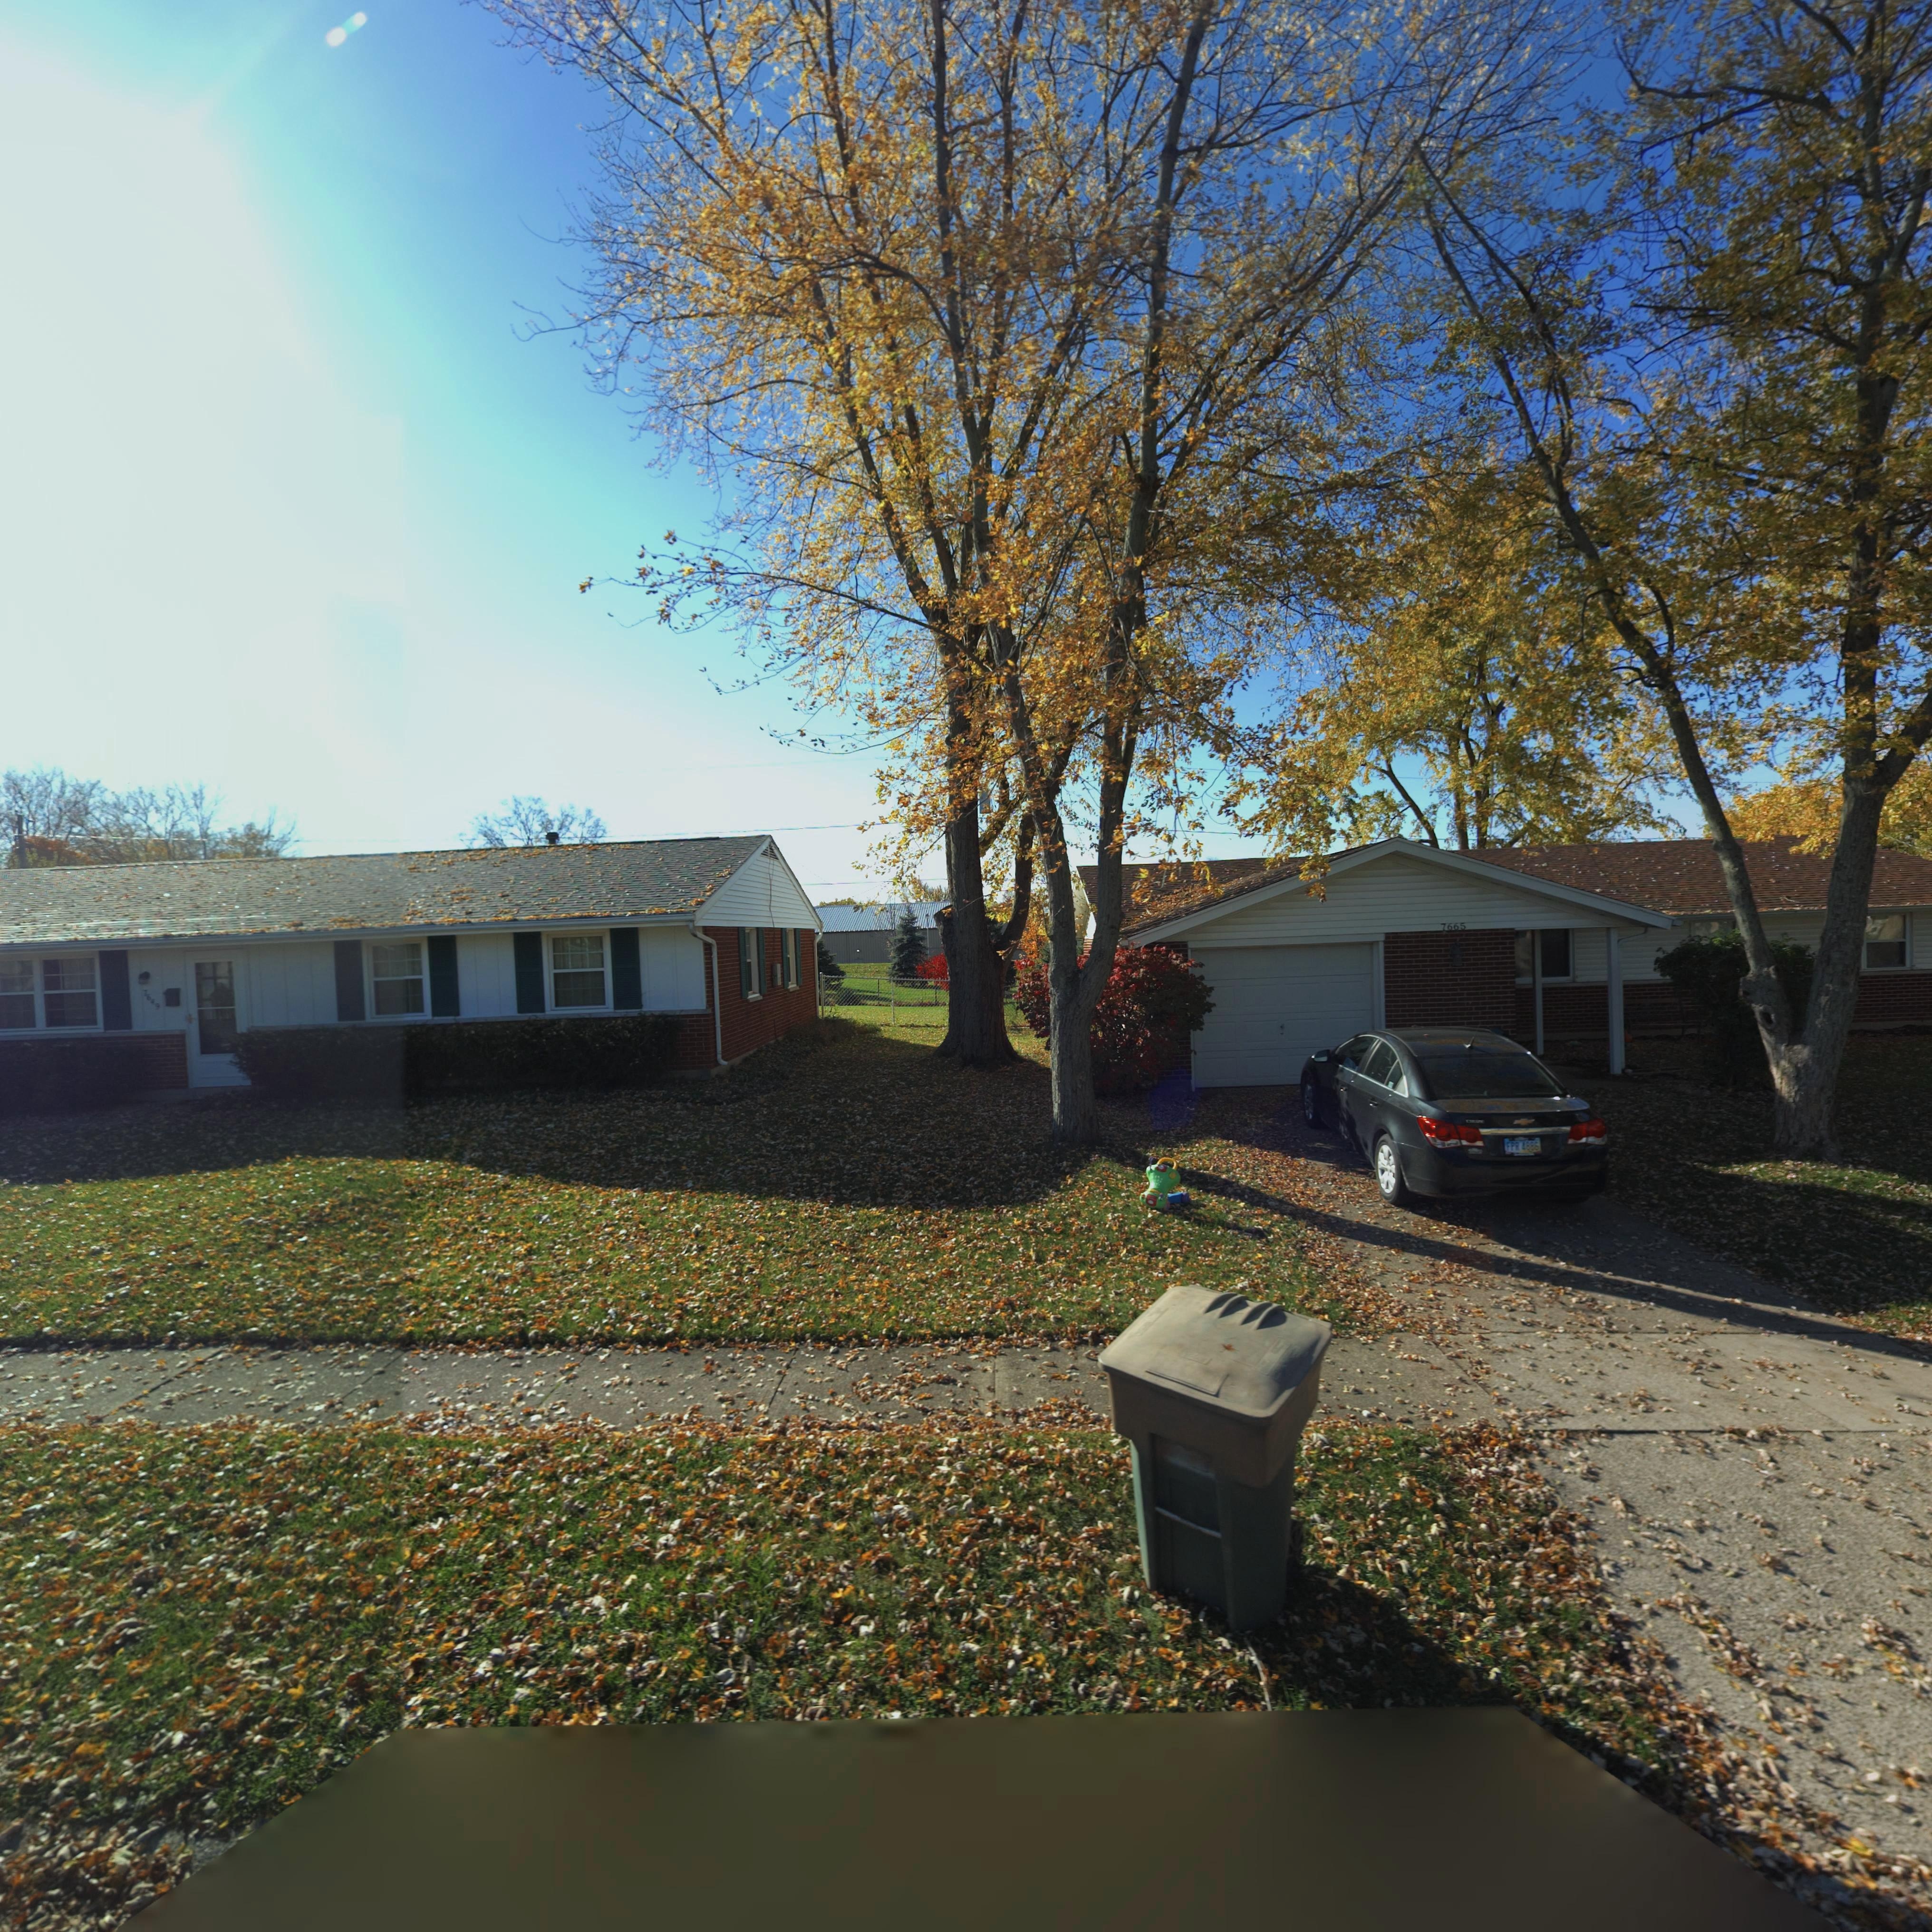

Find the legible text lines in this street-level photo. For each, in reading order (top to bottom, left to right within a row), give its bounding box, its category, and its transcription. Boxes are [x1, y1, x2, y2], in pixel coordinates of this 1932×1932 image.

[1439, 921, 1467, 932] StreetNumber: 7665
[142, 988, 162, 1012] StreetNumber: 7649